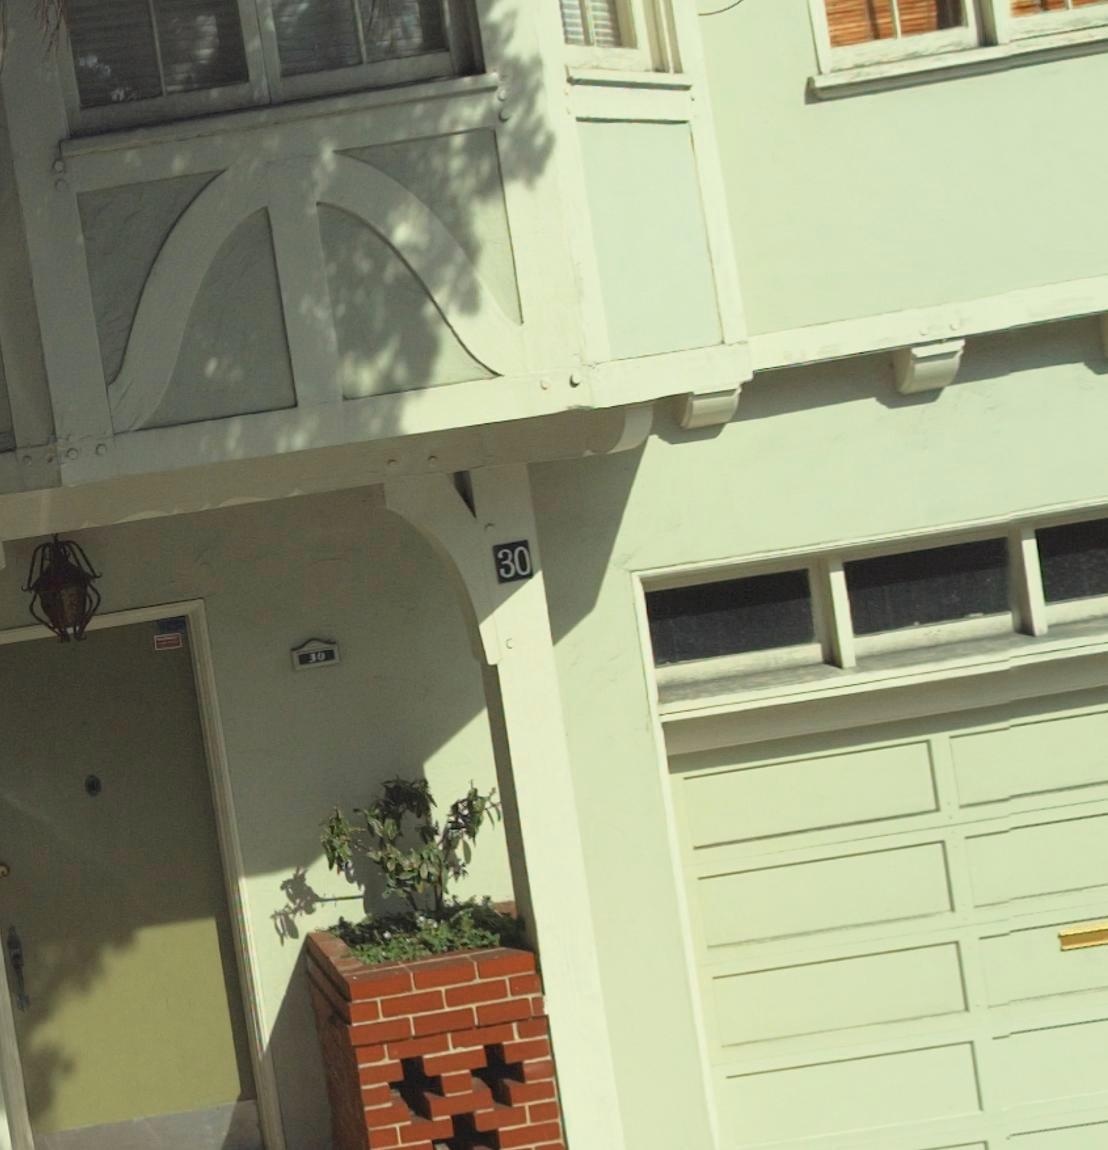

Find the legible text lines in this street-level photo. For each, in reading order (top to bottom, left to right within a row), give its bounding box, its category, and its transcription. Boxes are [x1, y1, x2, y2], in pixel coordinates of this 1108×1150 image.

[494, 540, 533, 582] StreetNumber: 30
[306, 651, 328, 665] None: 30